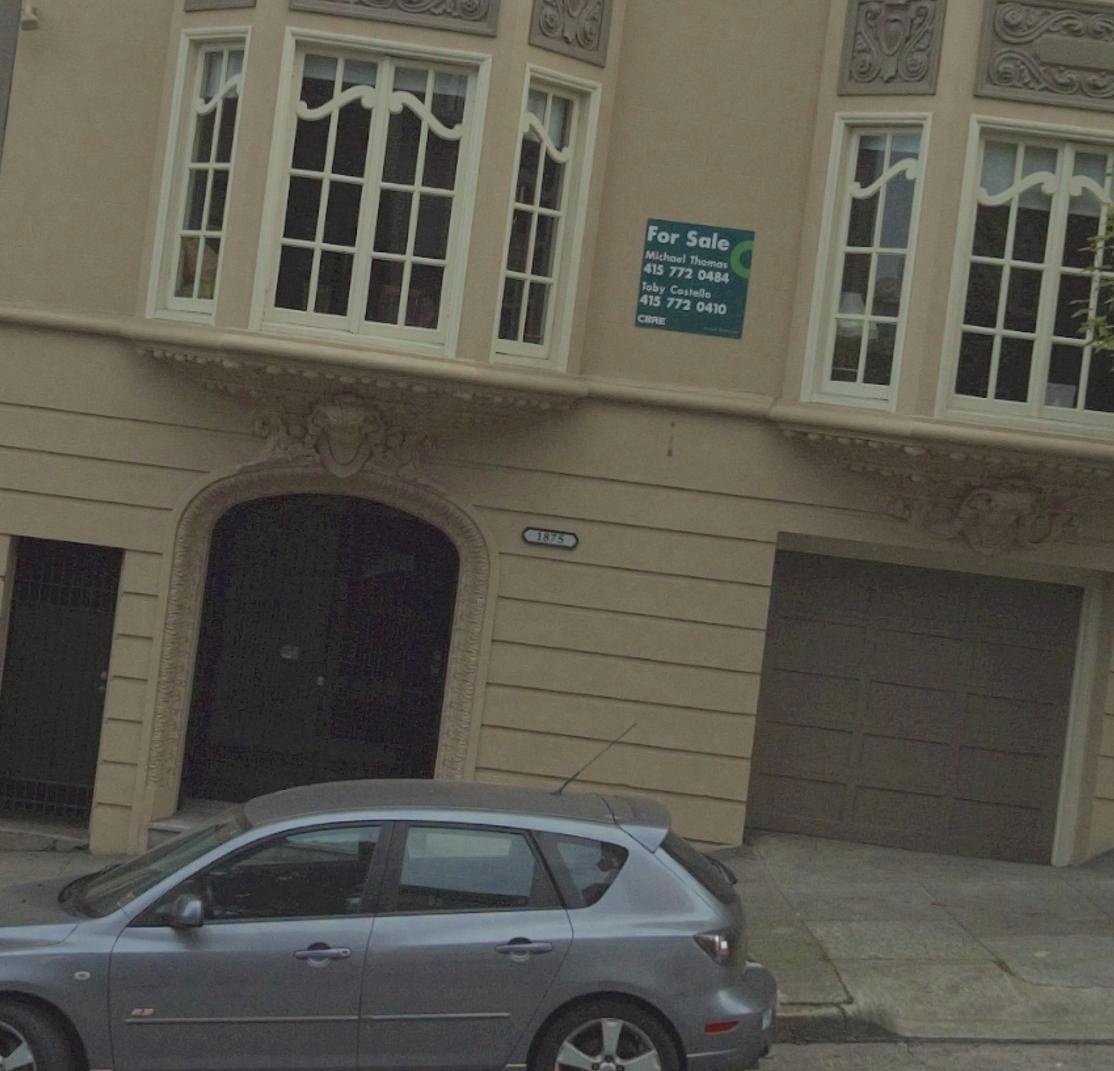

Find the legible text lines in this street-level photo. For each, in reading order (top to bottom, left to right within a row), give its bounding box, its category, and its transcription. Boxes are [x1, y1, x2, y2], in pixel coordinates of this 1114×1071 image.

[646, 224, 730, 252] None: For Sale
[643, 249, 729, 270] None: Michael Thomas
[641, 262, 731, 285] None: 415 772 0484
[641, 281, 712, 300] None: Toby Costello
[637, 293, 729, 316] None: 415 772 0410
[535, 530, 566, 545] StreetNumber: 1875